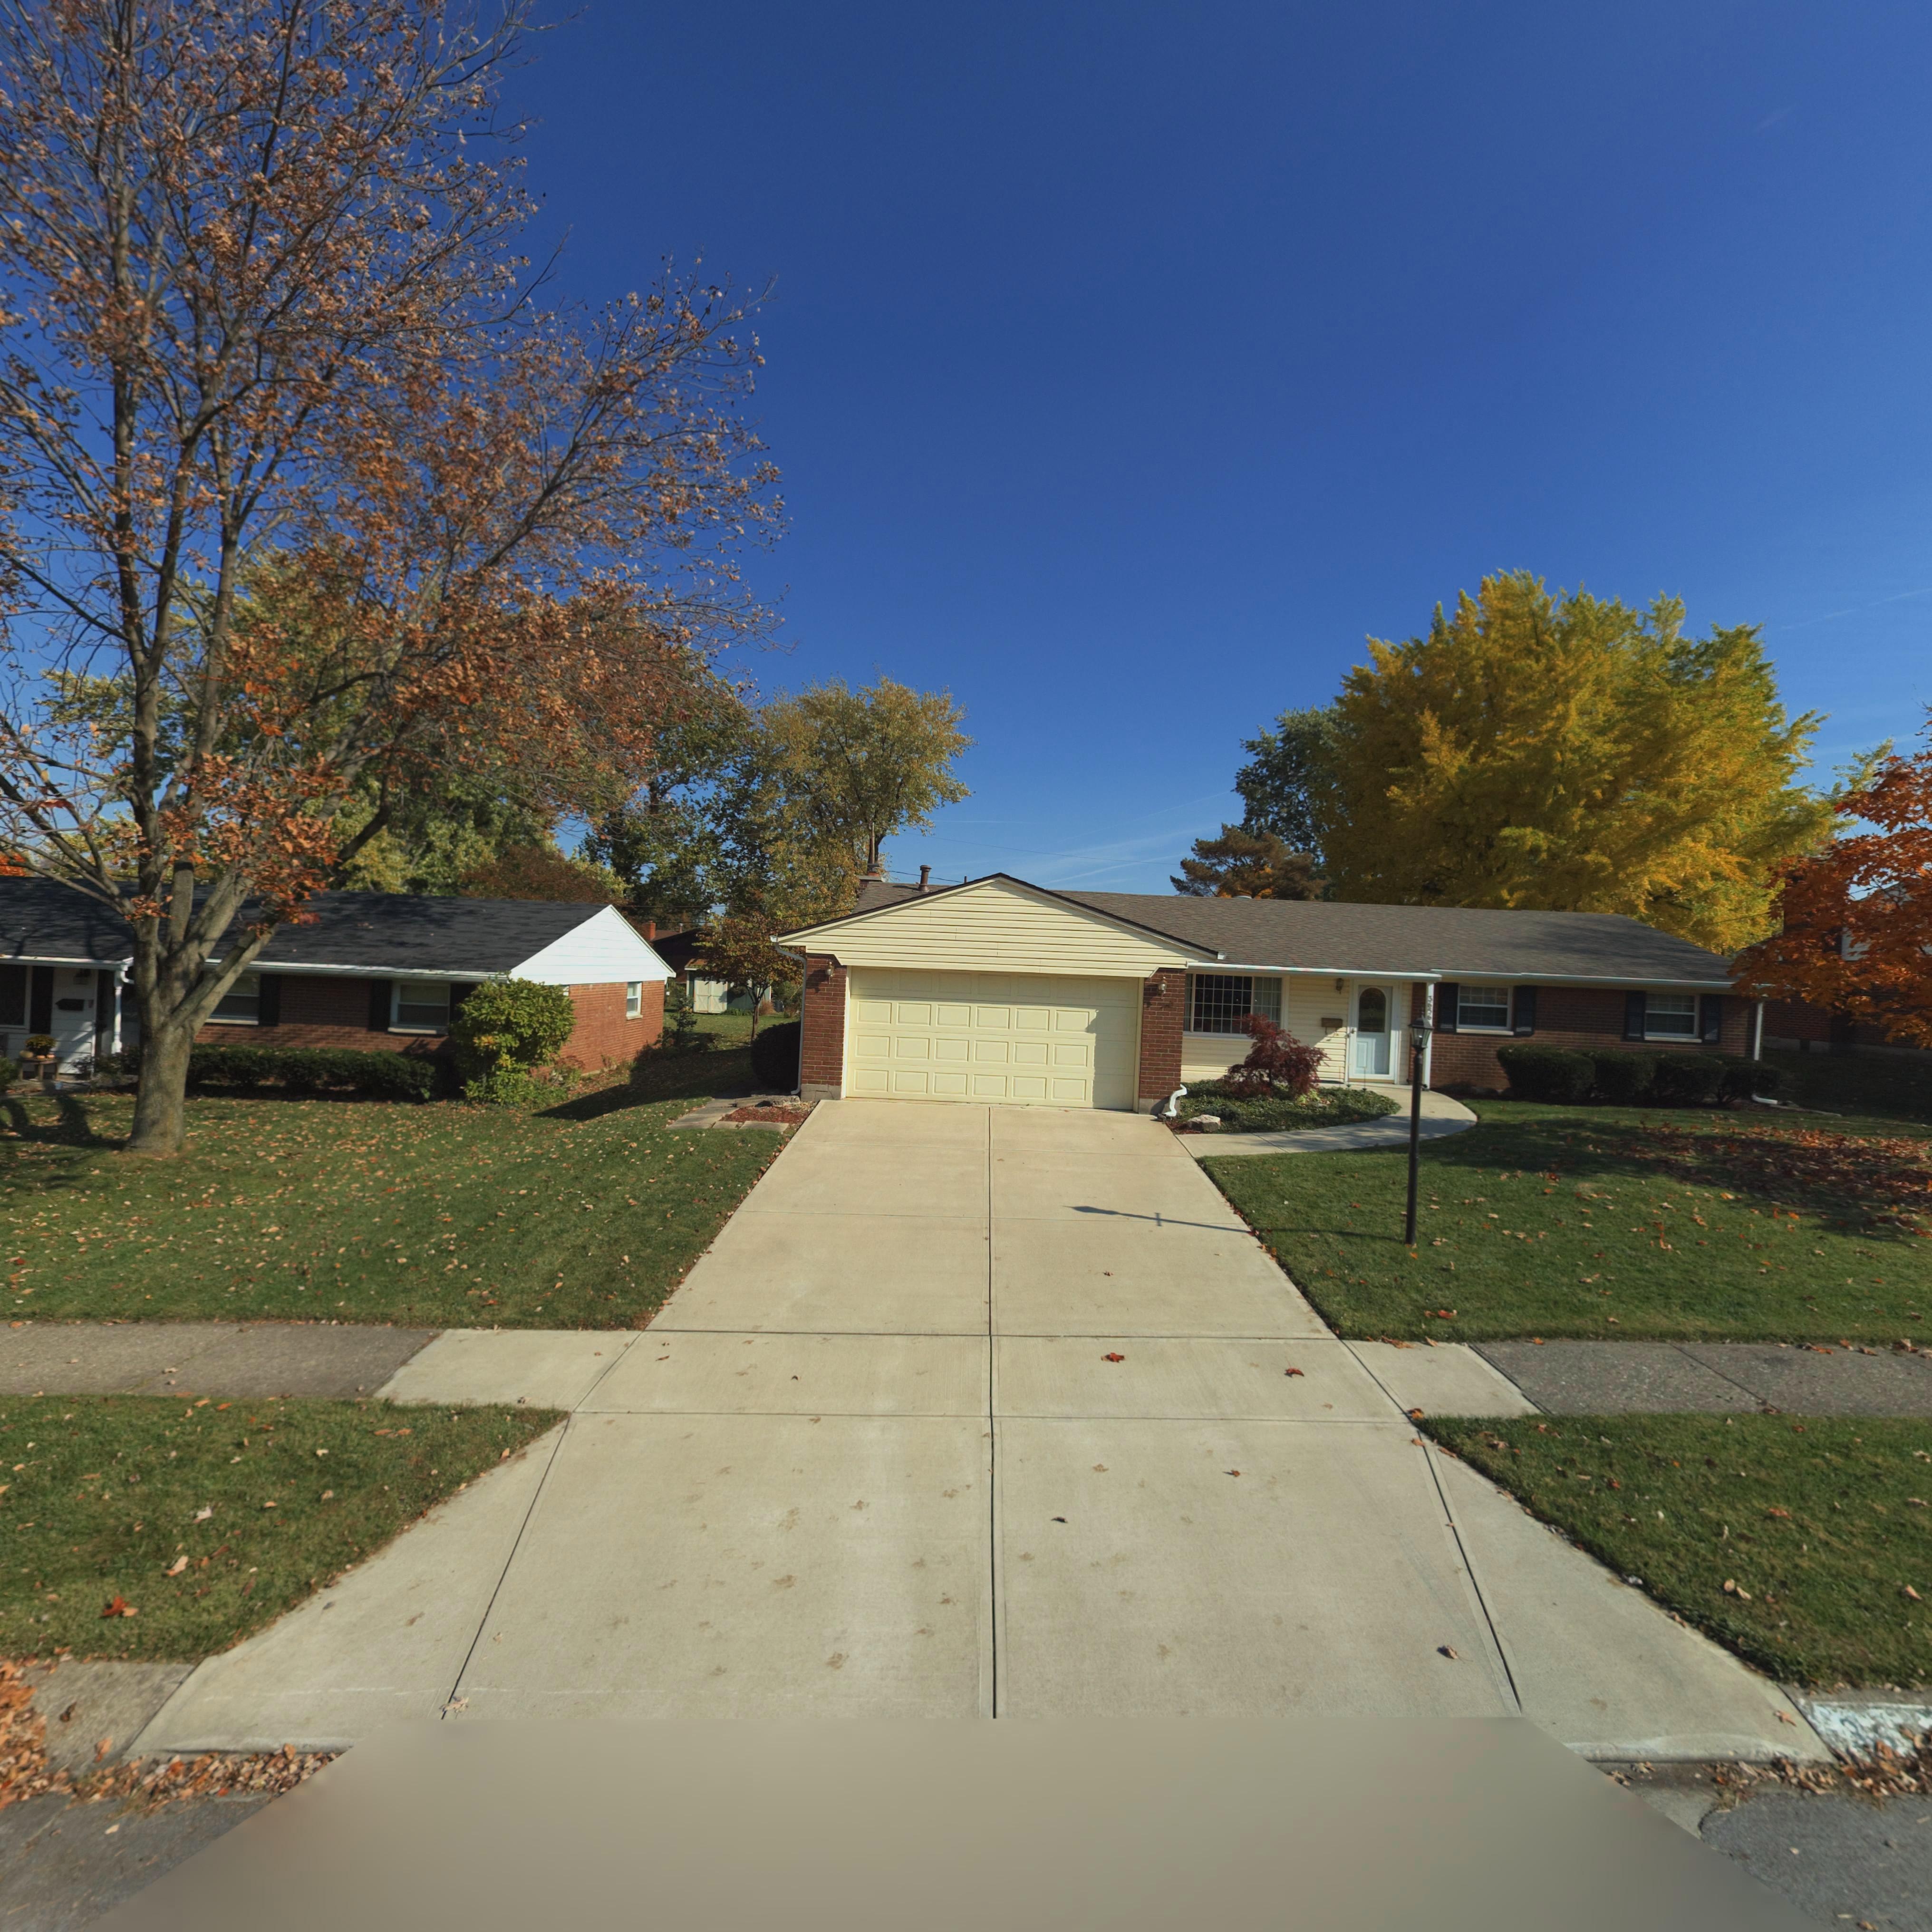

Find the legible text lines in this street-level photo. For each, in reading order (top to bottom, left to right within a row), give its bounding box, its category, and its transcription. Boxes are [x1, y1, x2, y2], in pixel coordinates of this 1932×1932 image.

[1425, 994, 1433, 1021] StreetNumber: 3656